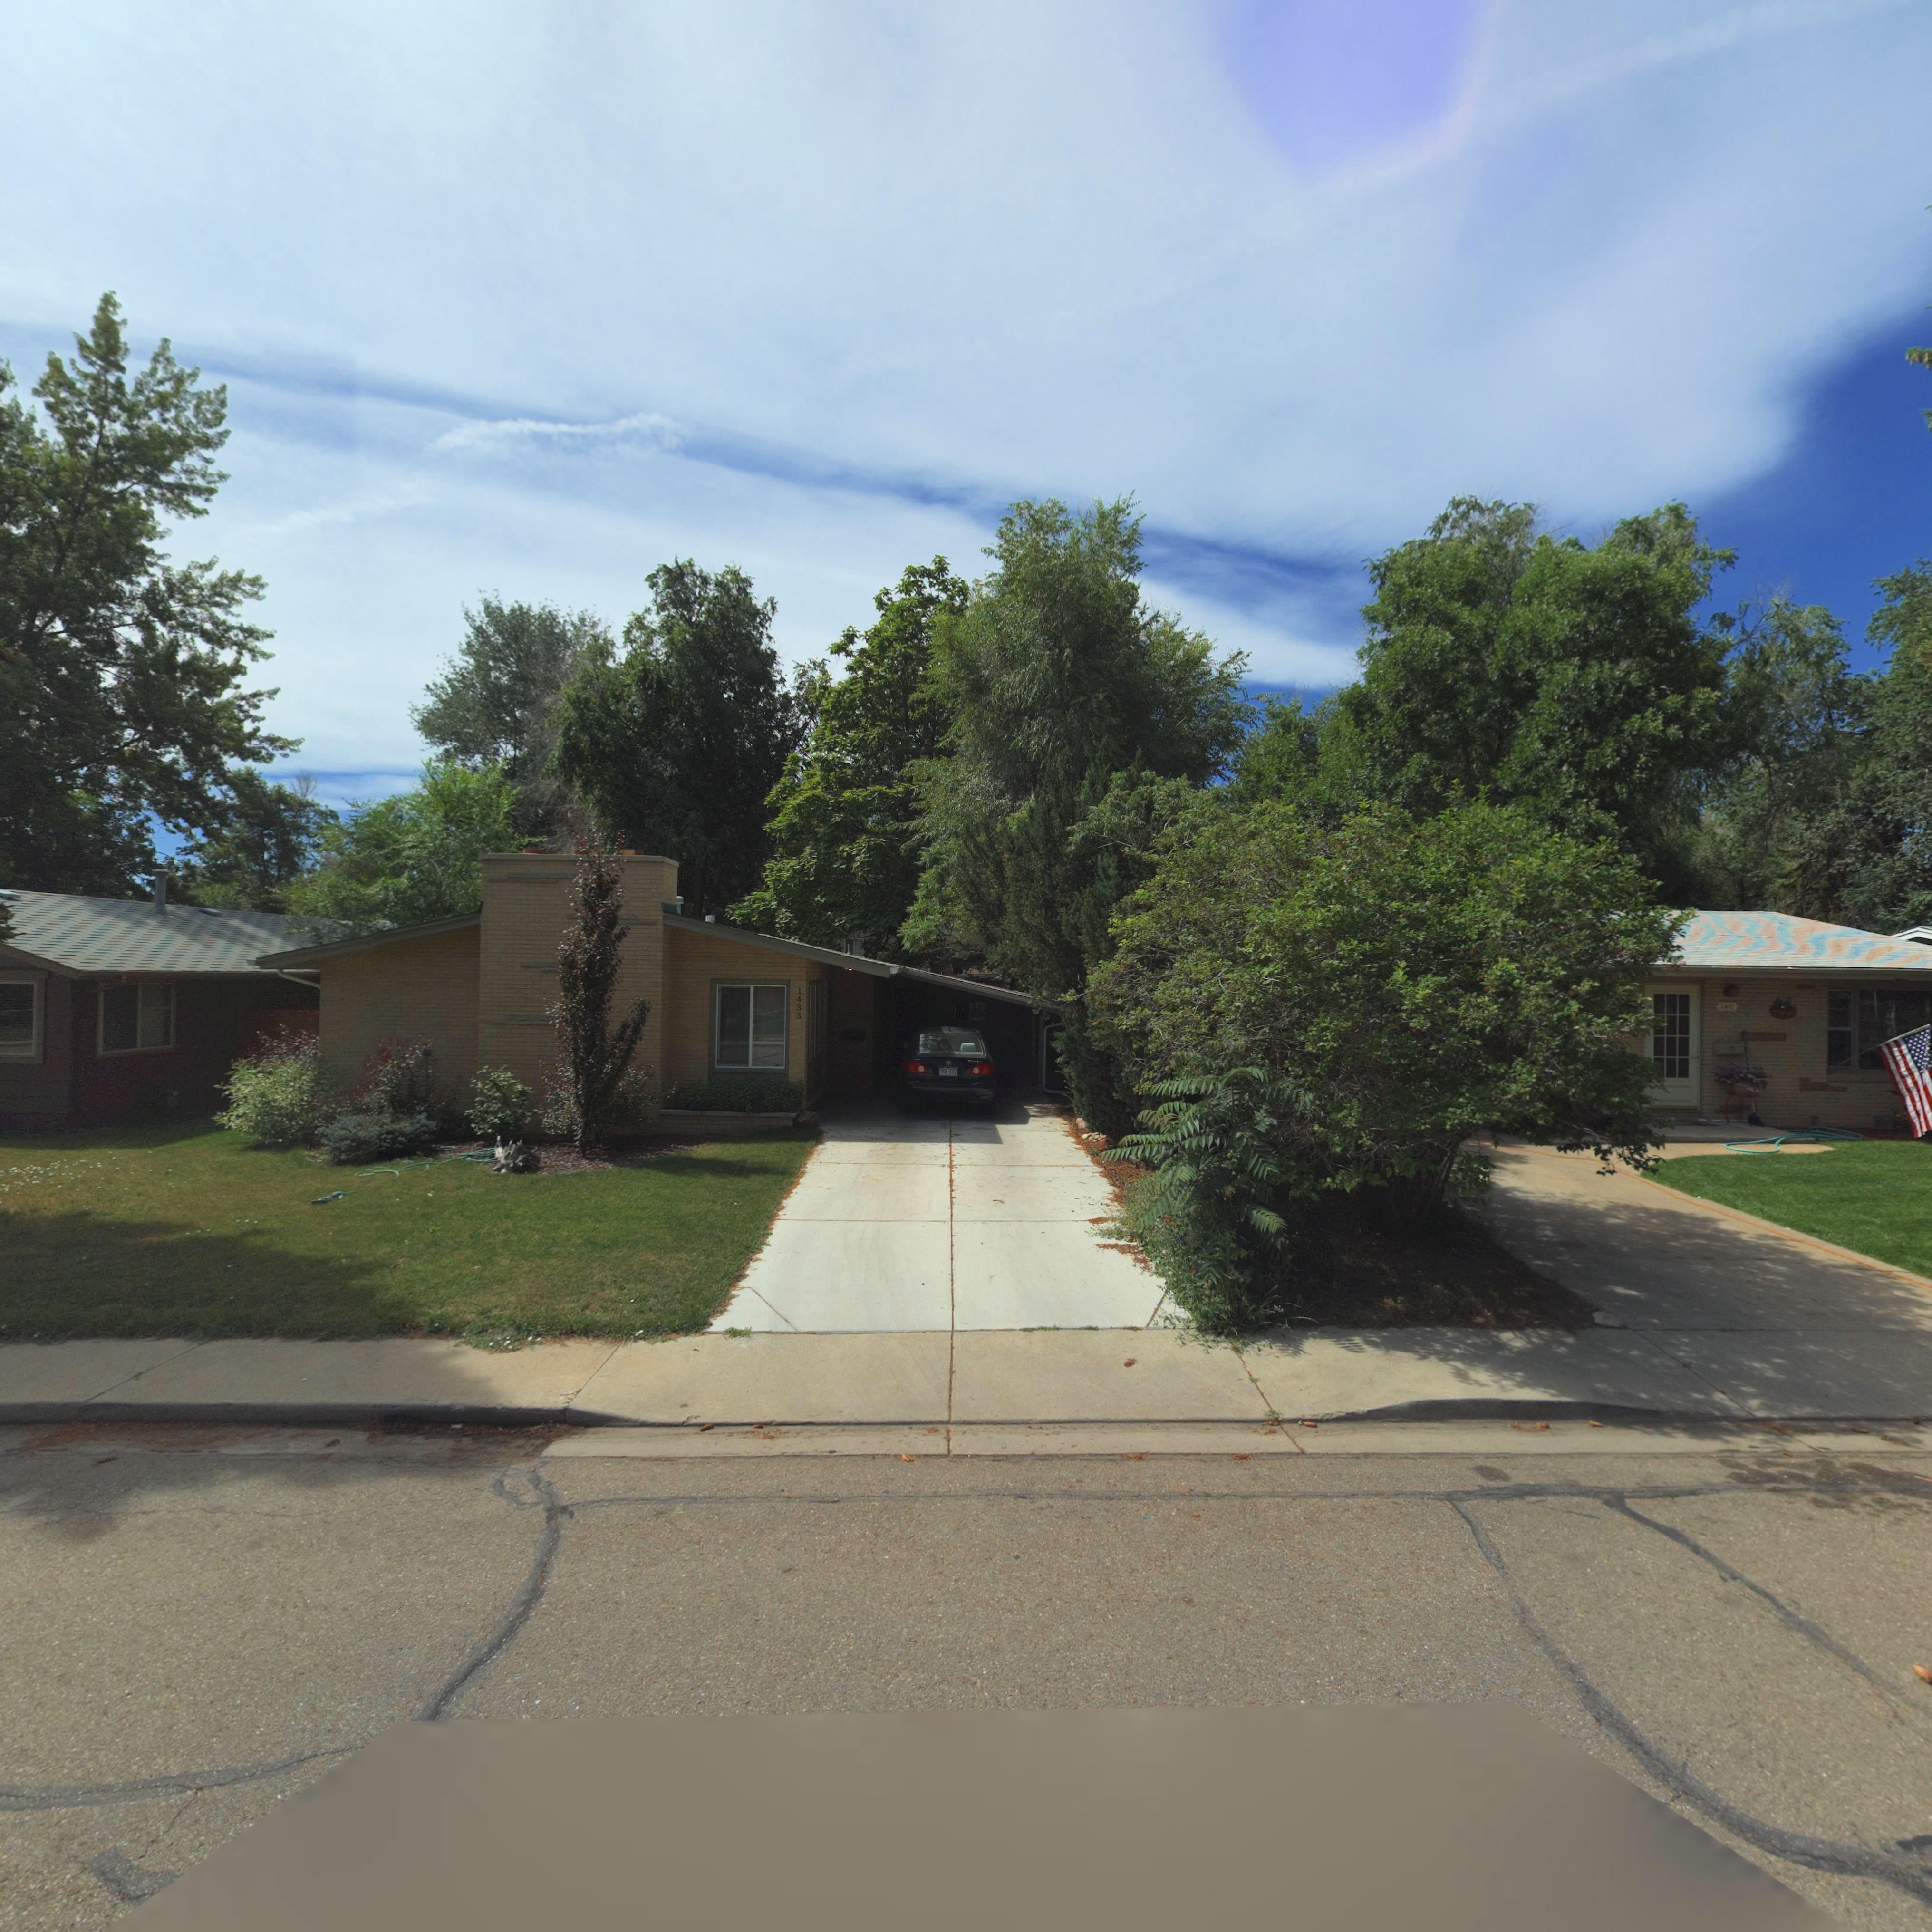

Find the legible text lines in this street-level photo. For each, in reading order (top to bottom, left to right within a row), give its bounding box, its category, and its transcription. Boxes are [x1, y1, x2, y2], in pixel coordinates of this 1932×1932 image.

[796, 987, 802, 1020] StreetNumber: 1433
[1720, 1003, 1735, 1011] StreetNumber: 144*